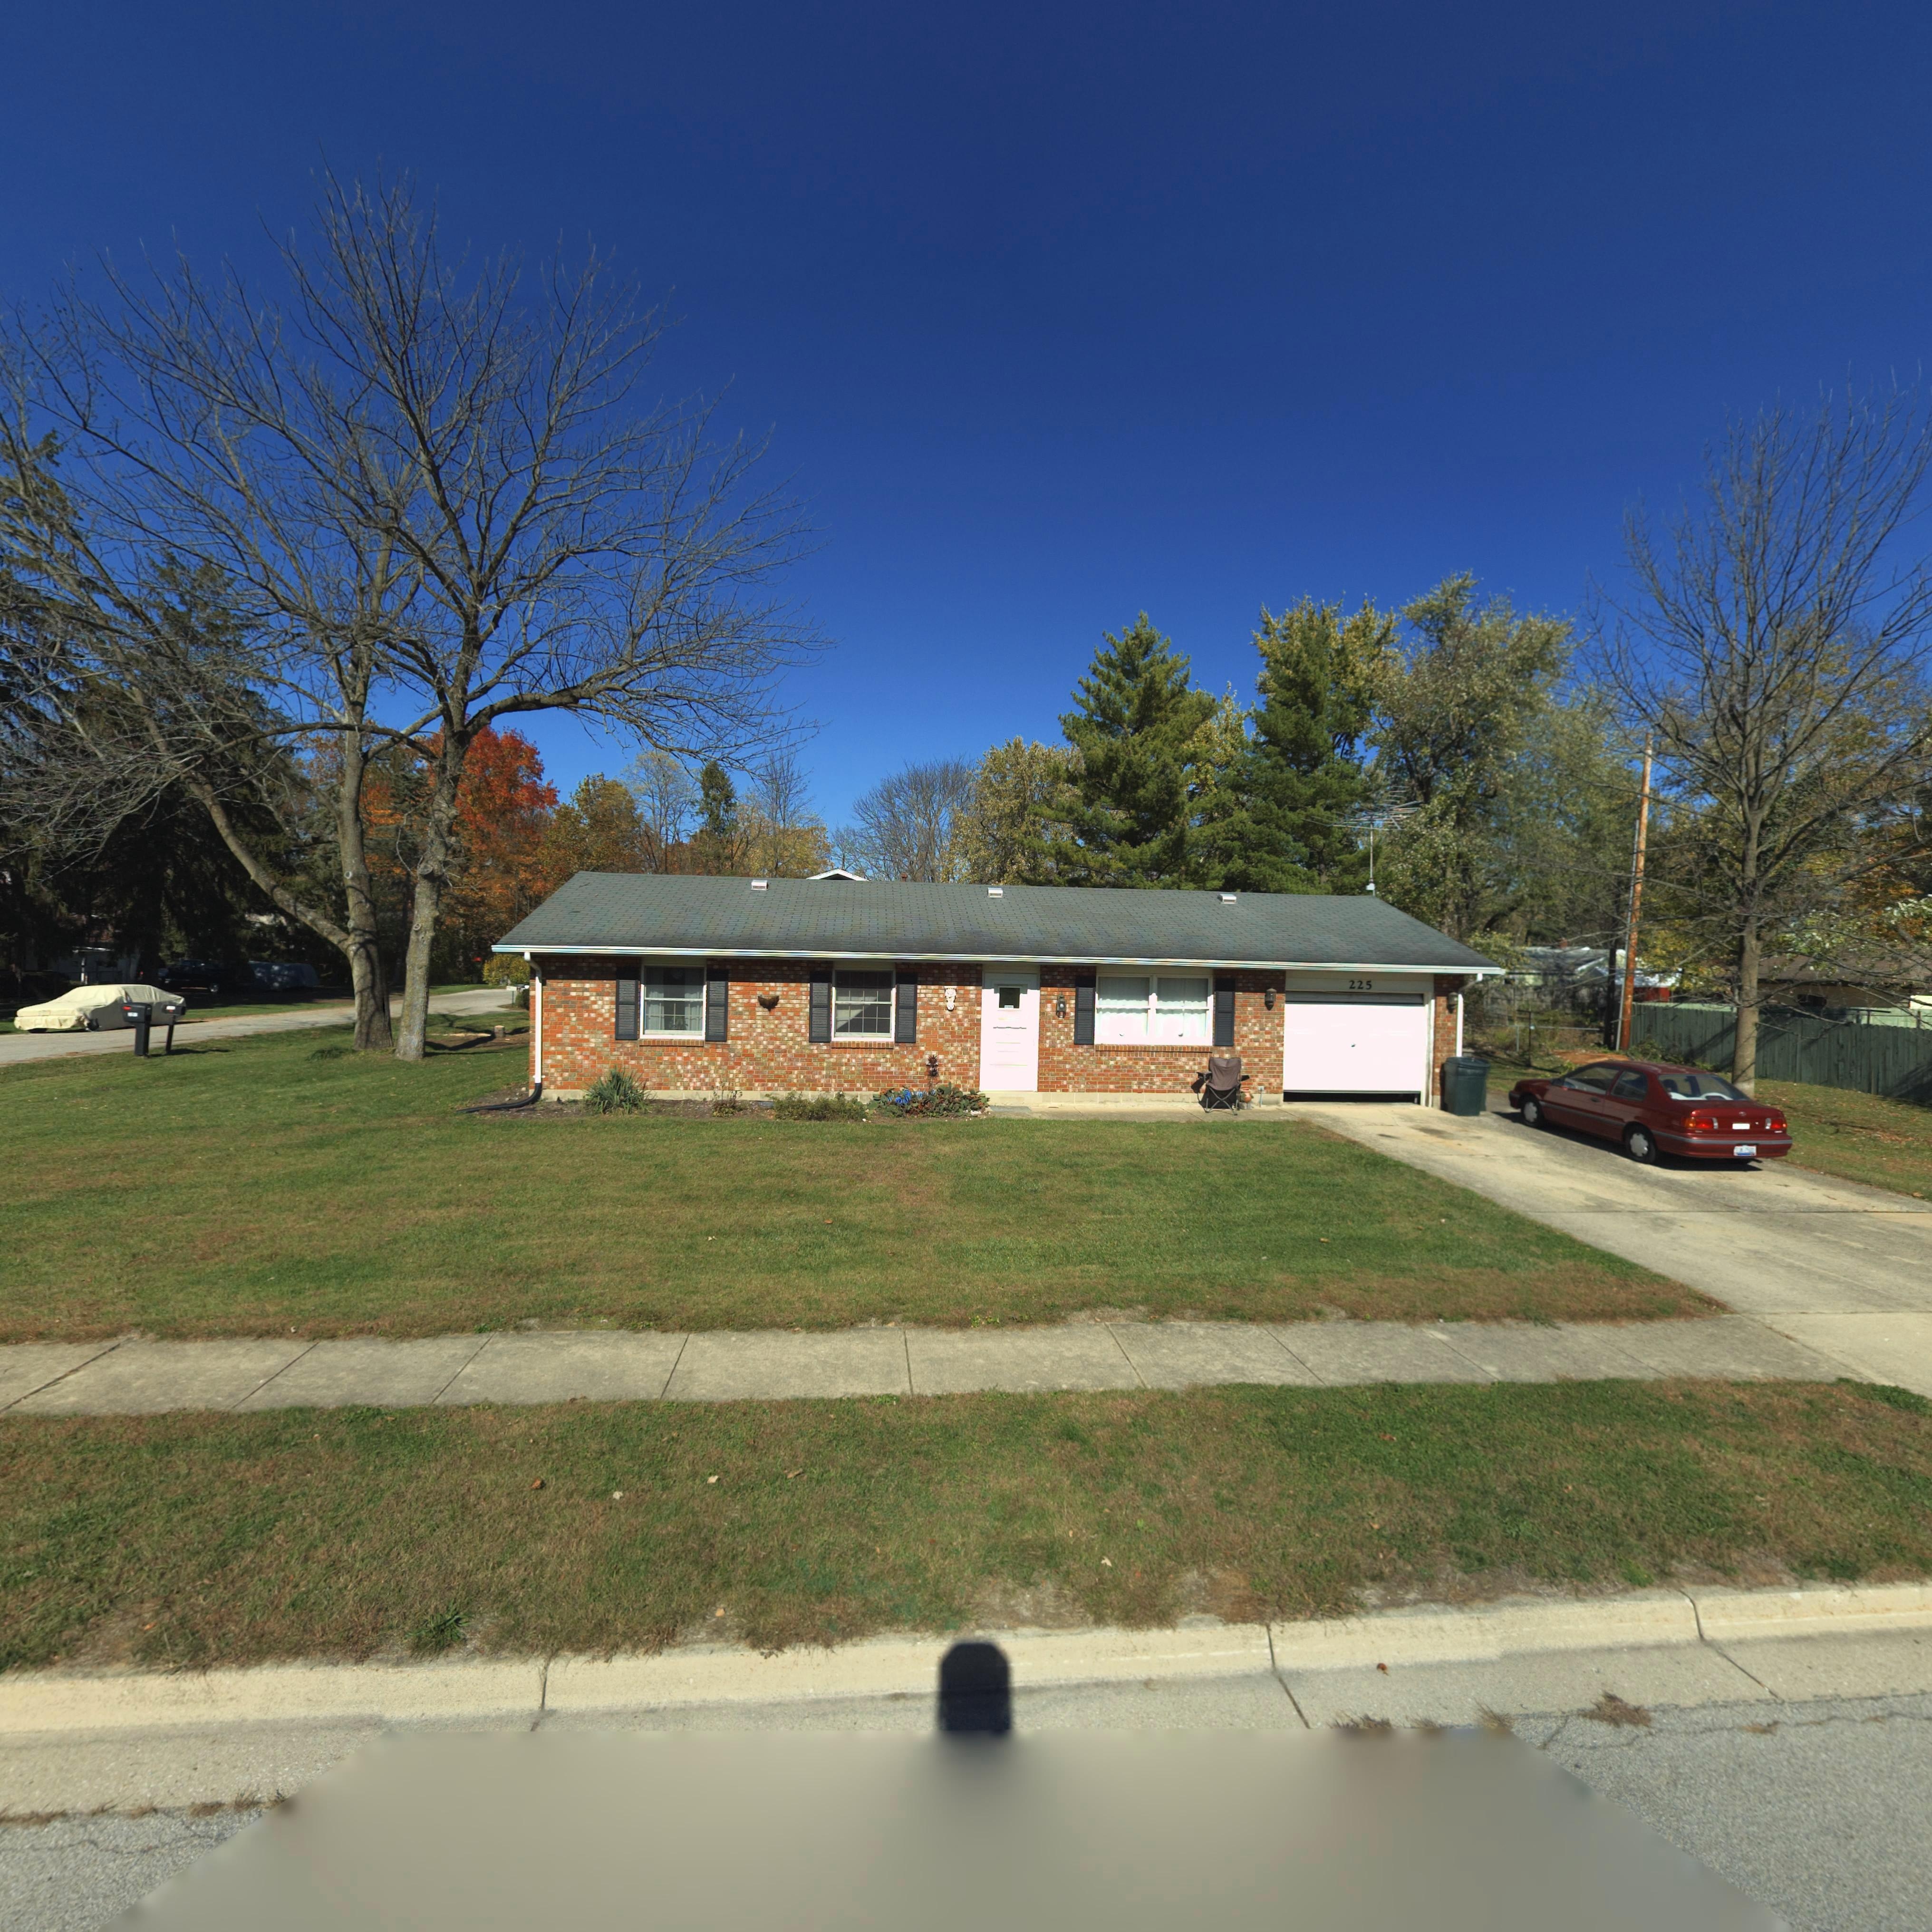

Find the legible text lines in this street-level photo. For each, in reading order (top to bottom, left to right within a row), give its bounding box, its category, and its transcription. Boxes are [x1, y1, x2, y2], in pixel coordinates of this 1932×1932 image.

[1348, 979, 1372, 990] StreetNumber: 225
[130, 1013, 134, 1017] StreetNumber: 2